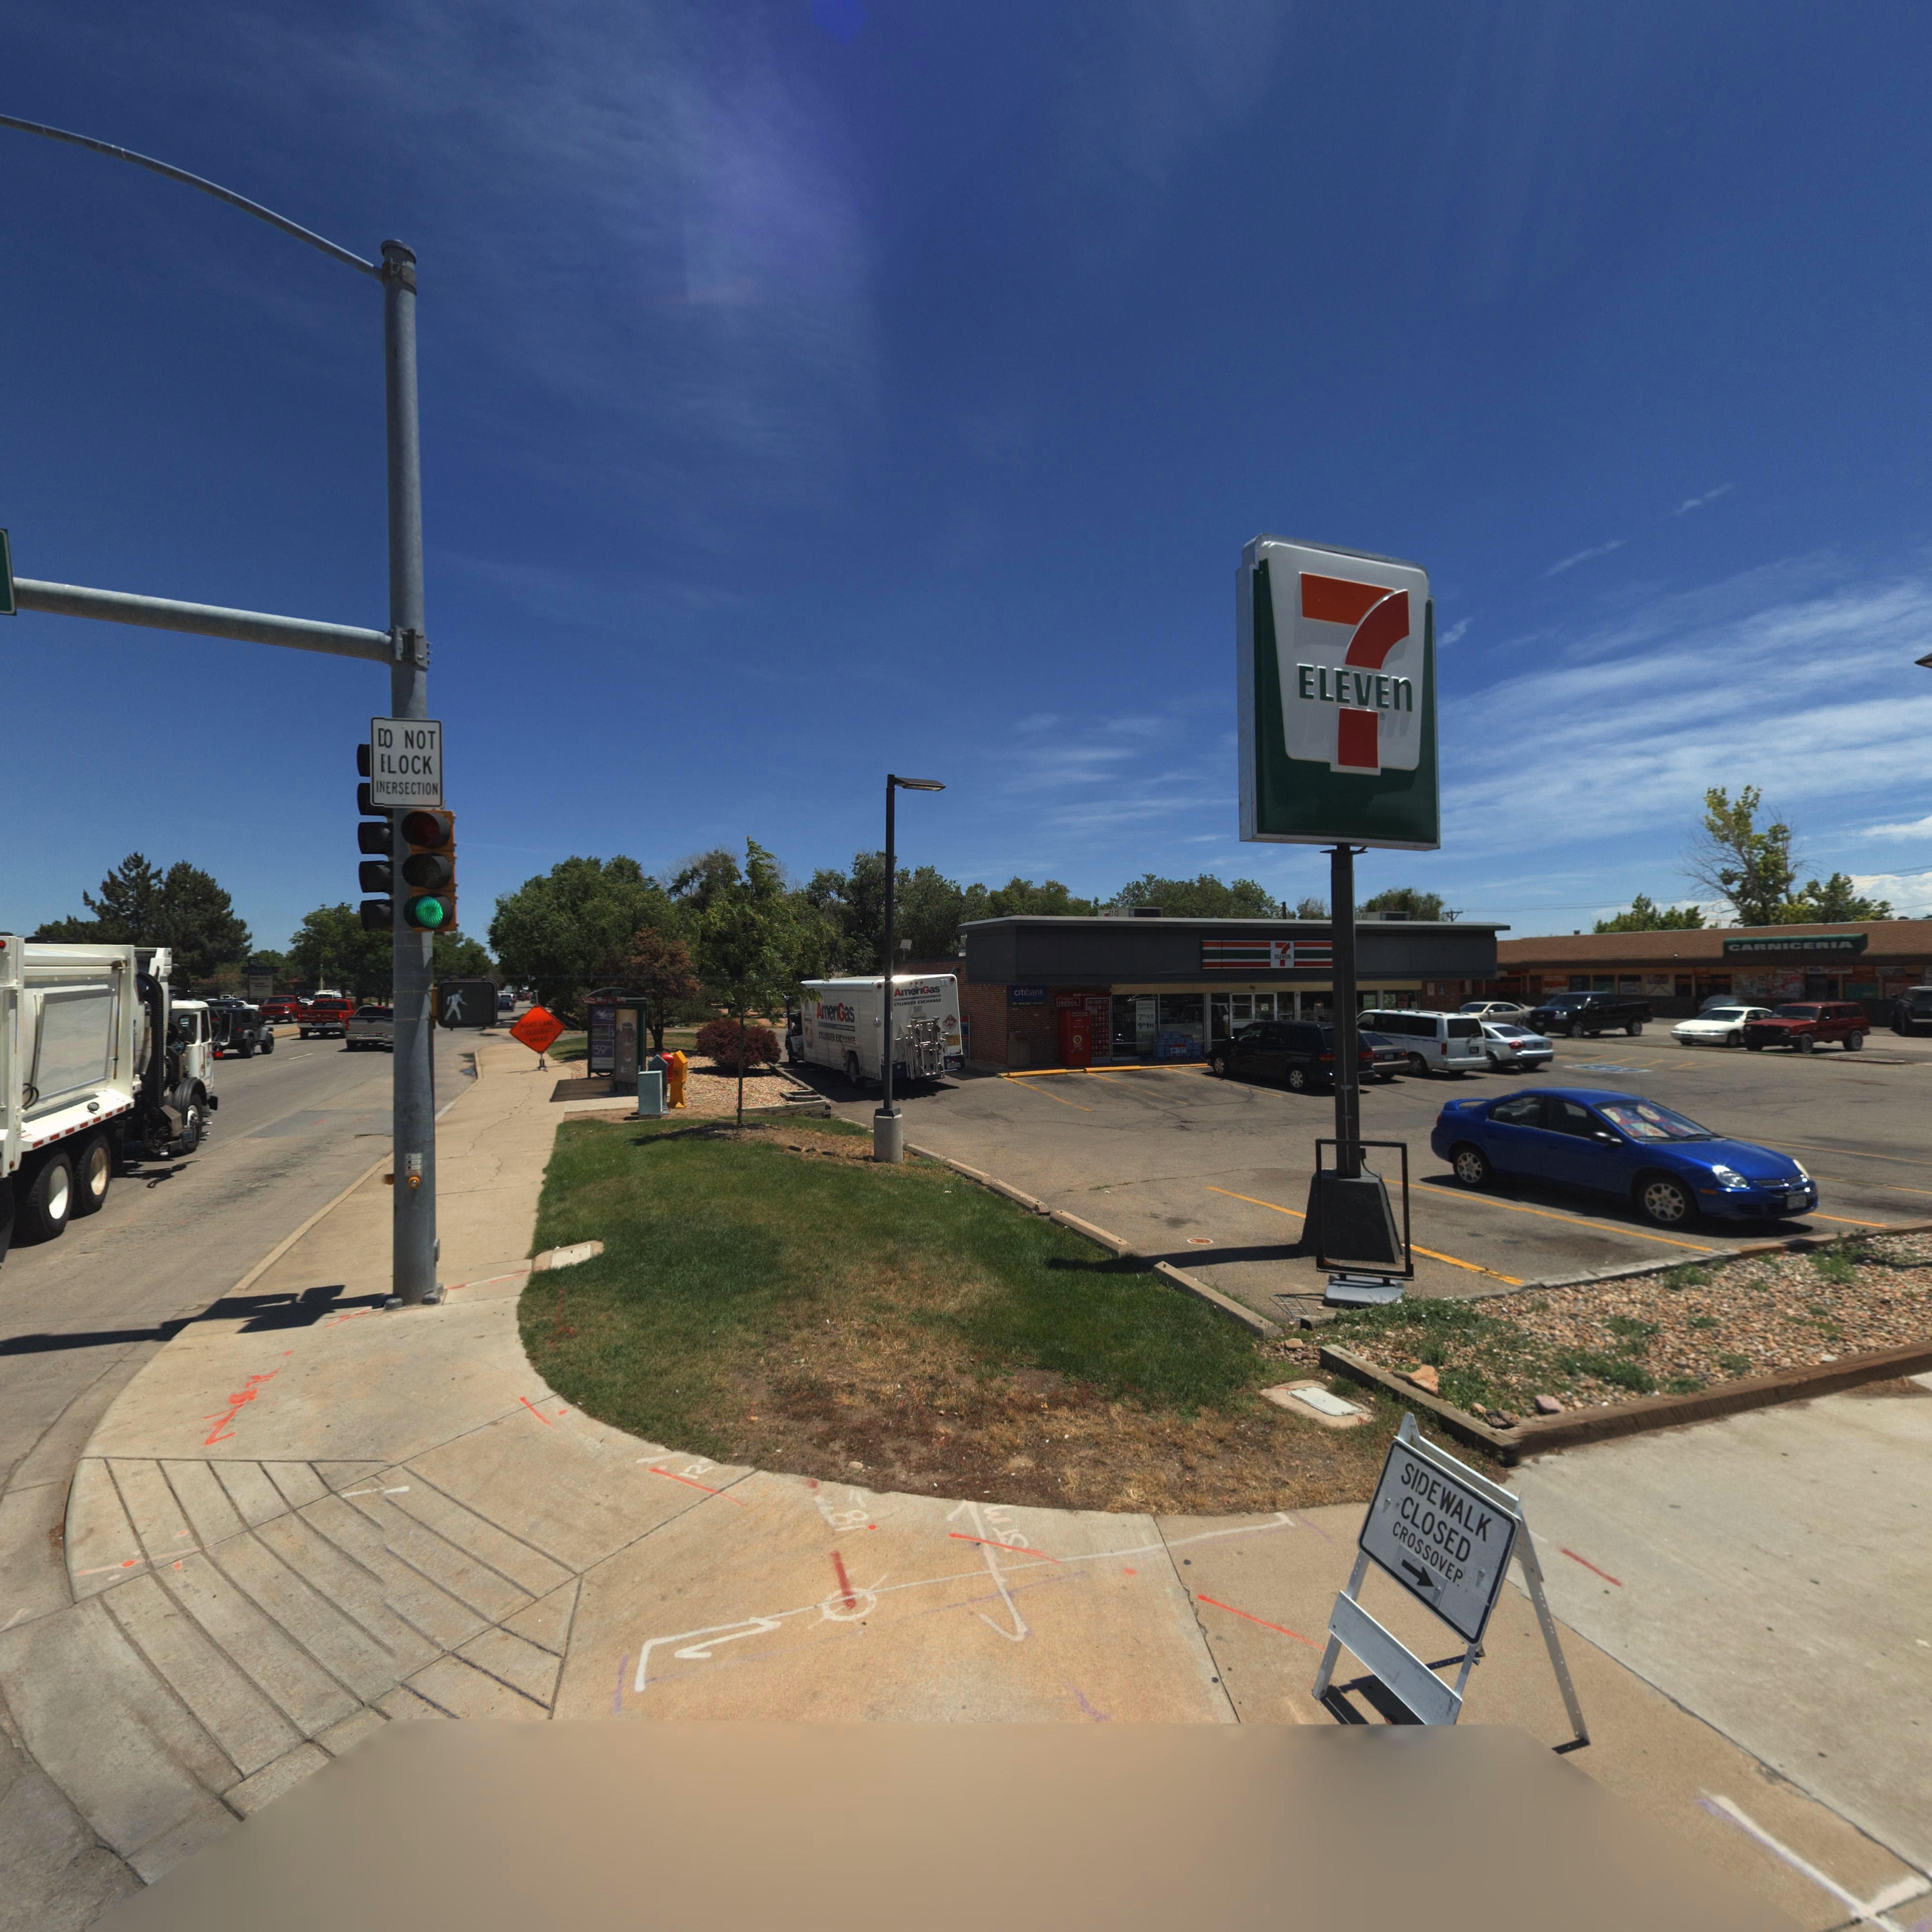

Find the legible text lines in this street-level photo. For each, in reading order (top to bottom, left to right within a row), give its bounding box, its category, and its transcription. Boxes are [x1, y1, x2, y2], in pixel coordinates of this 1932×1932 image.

[1297, 569, 1413, 773] BusinessName: 7
[1297, 662, 1415, 714] BusinessName: ELEVEn
[1274, 941, 1291, 967] BusinessName: 7
[1274, 954, 1291, 959] BusinessName: ELEVEn
[1014, 987, 1044, 996] BusinessName: citibank
[1249, 983, 1256, 991] StreetNumber: 841
[1058, 1000, 1078, 1005] BusinessName: redbox